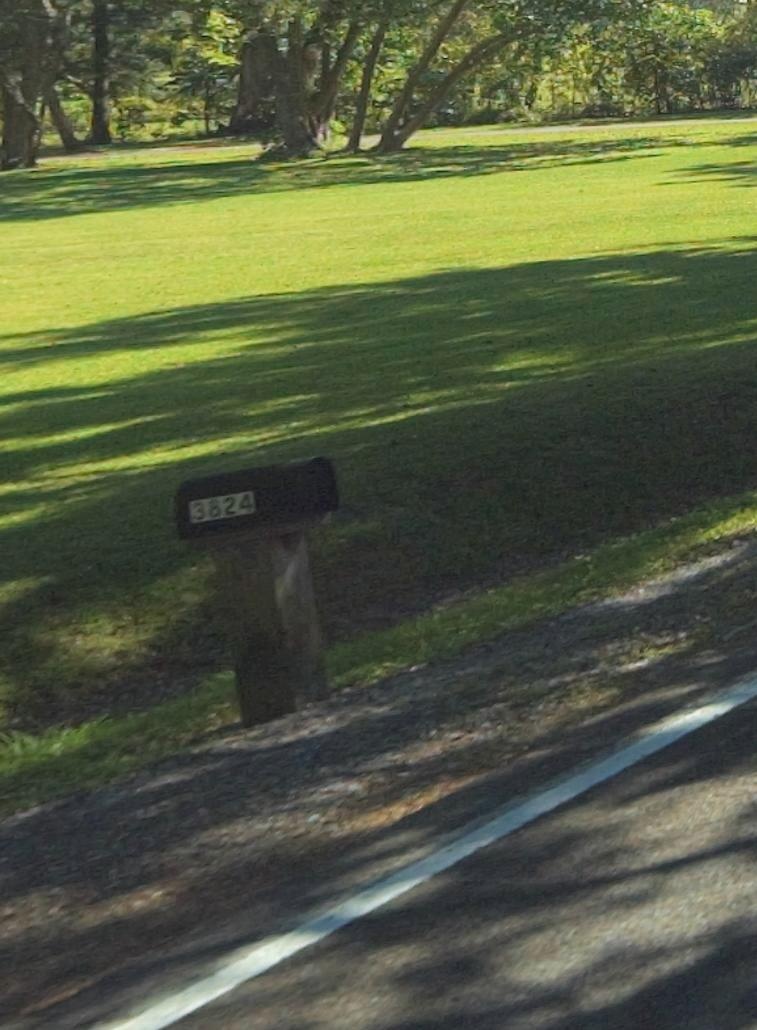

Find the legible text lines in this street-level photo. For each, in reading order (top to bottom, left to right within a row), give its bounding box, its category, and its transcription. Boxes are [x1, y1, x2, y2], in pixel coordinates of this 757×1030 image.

[189, 492, 256, 524] StreetNumber: 3824